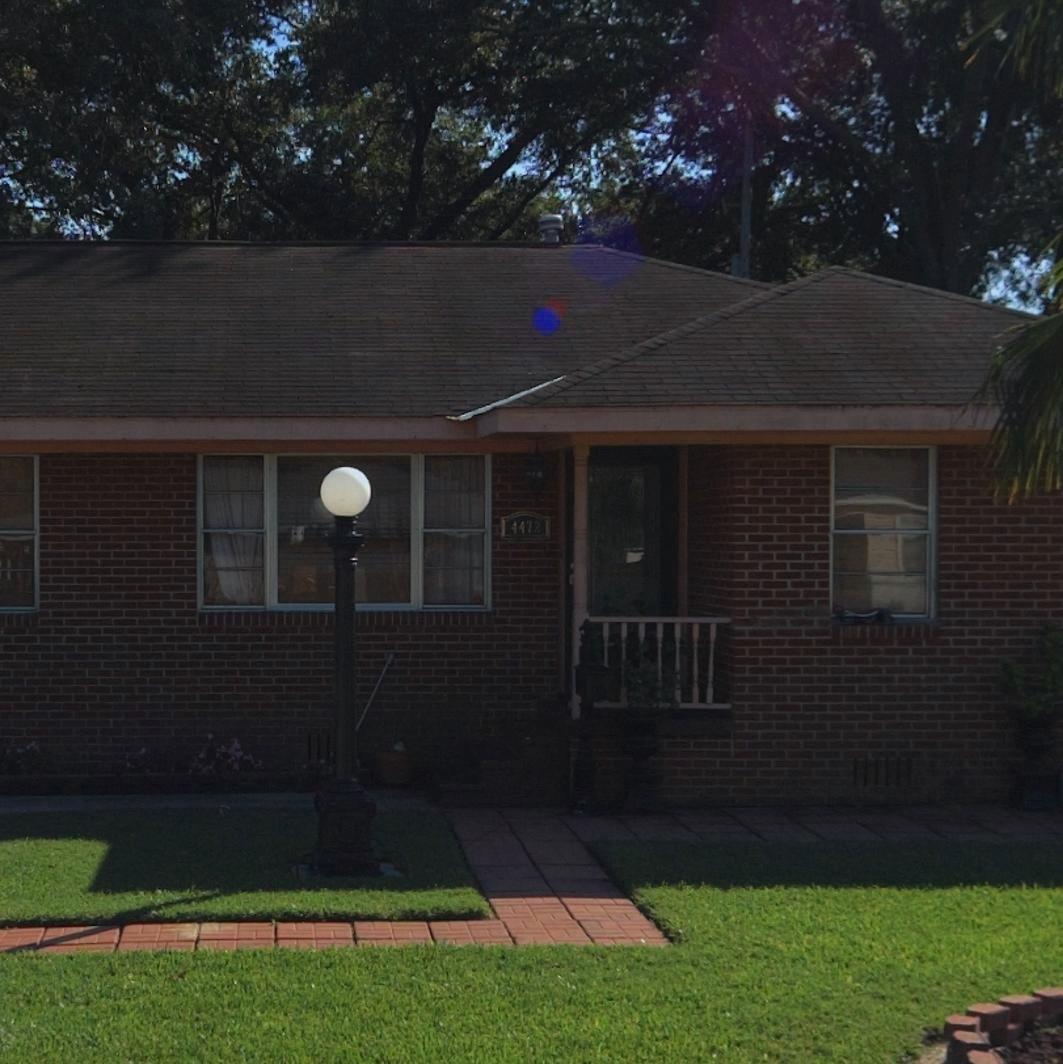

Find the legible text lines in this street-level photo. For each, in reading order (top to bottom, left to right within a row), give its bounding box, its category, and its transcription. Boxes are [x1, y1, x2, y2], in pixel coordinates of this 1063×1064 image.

[510, 519, 541, 535] StreetNumber: 4472